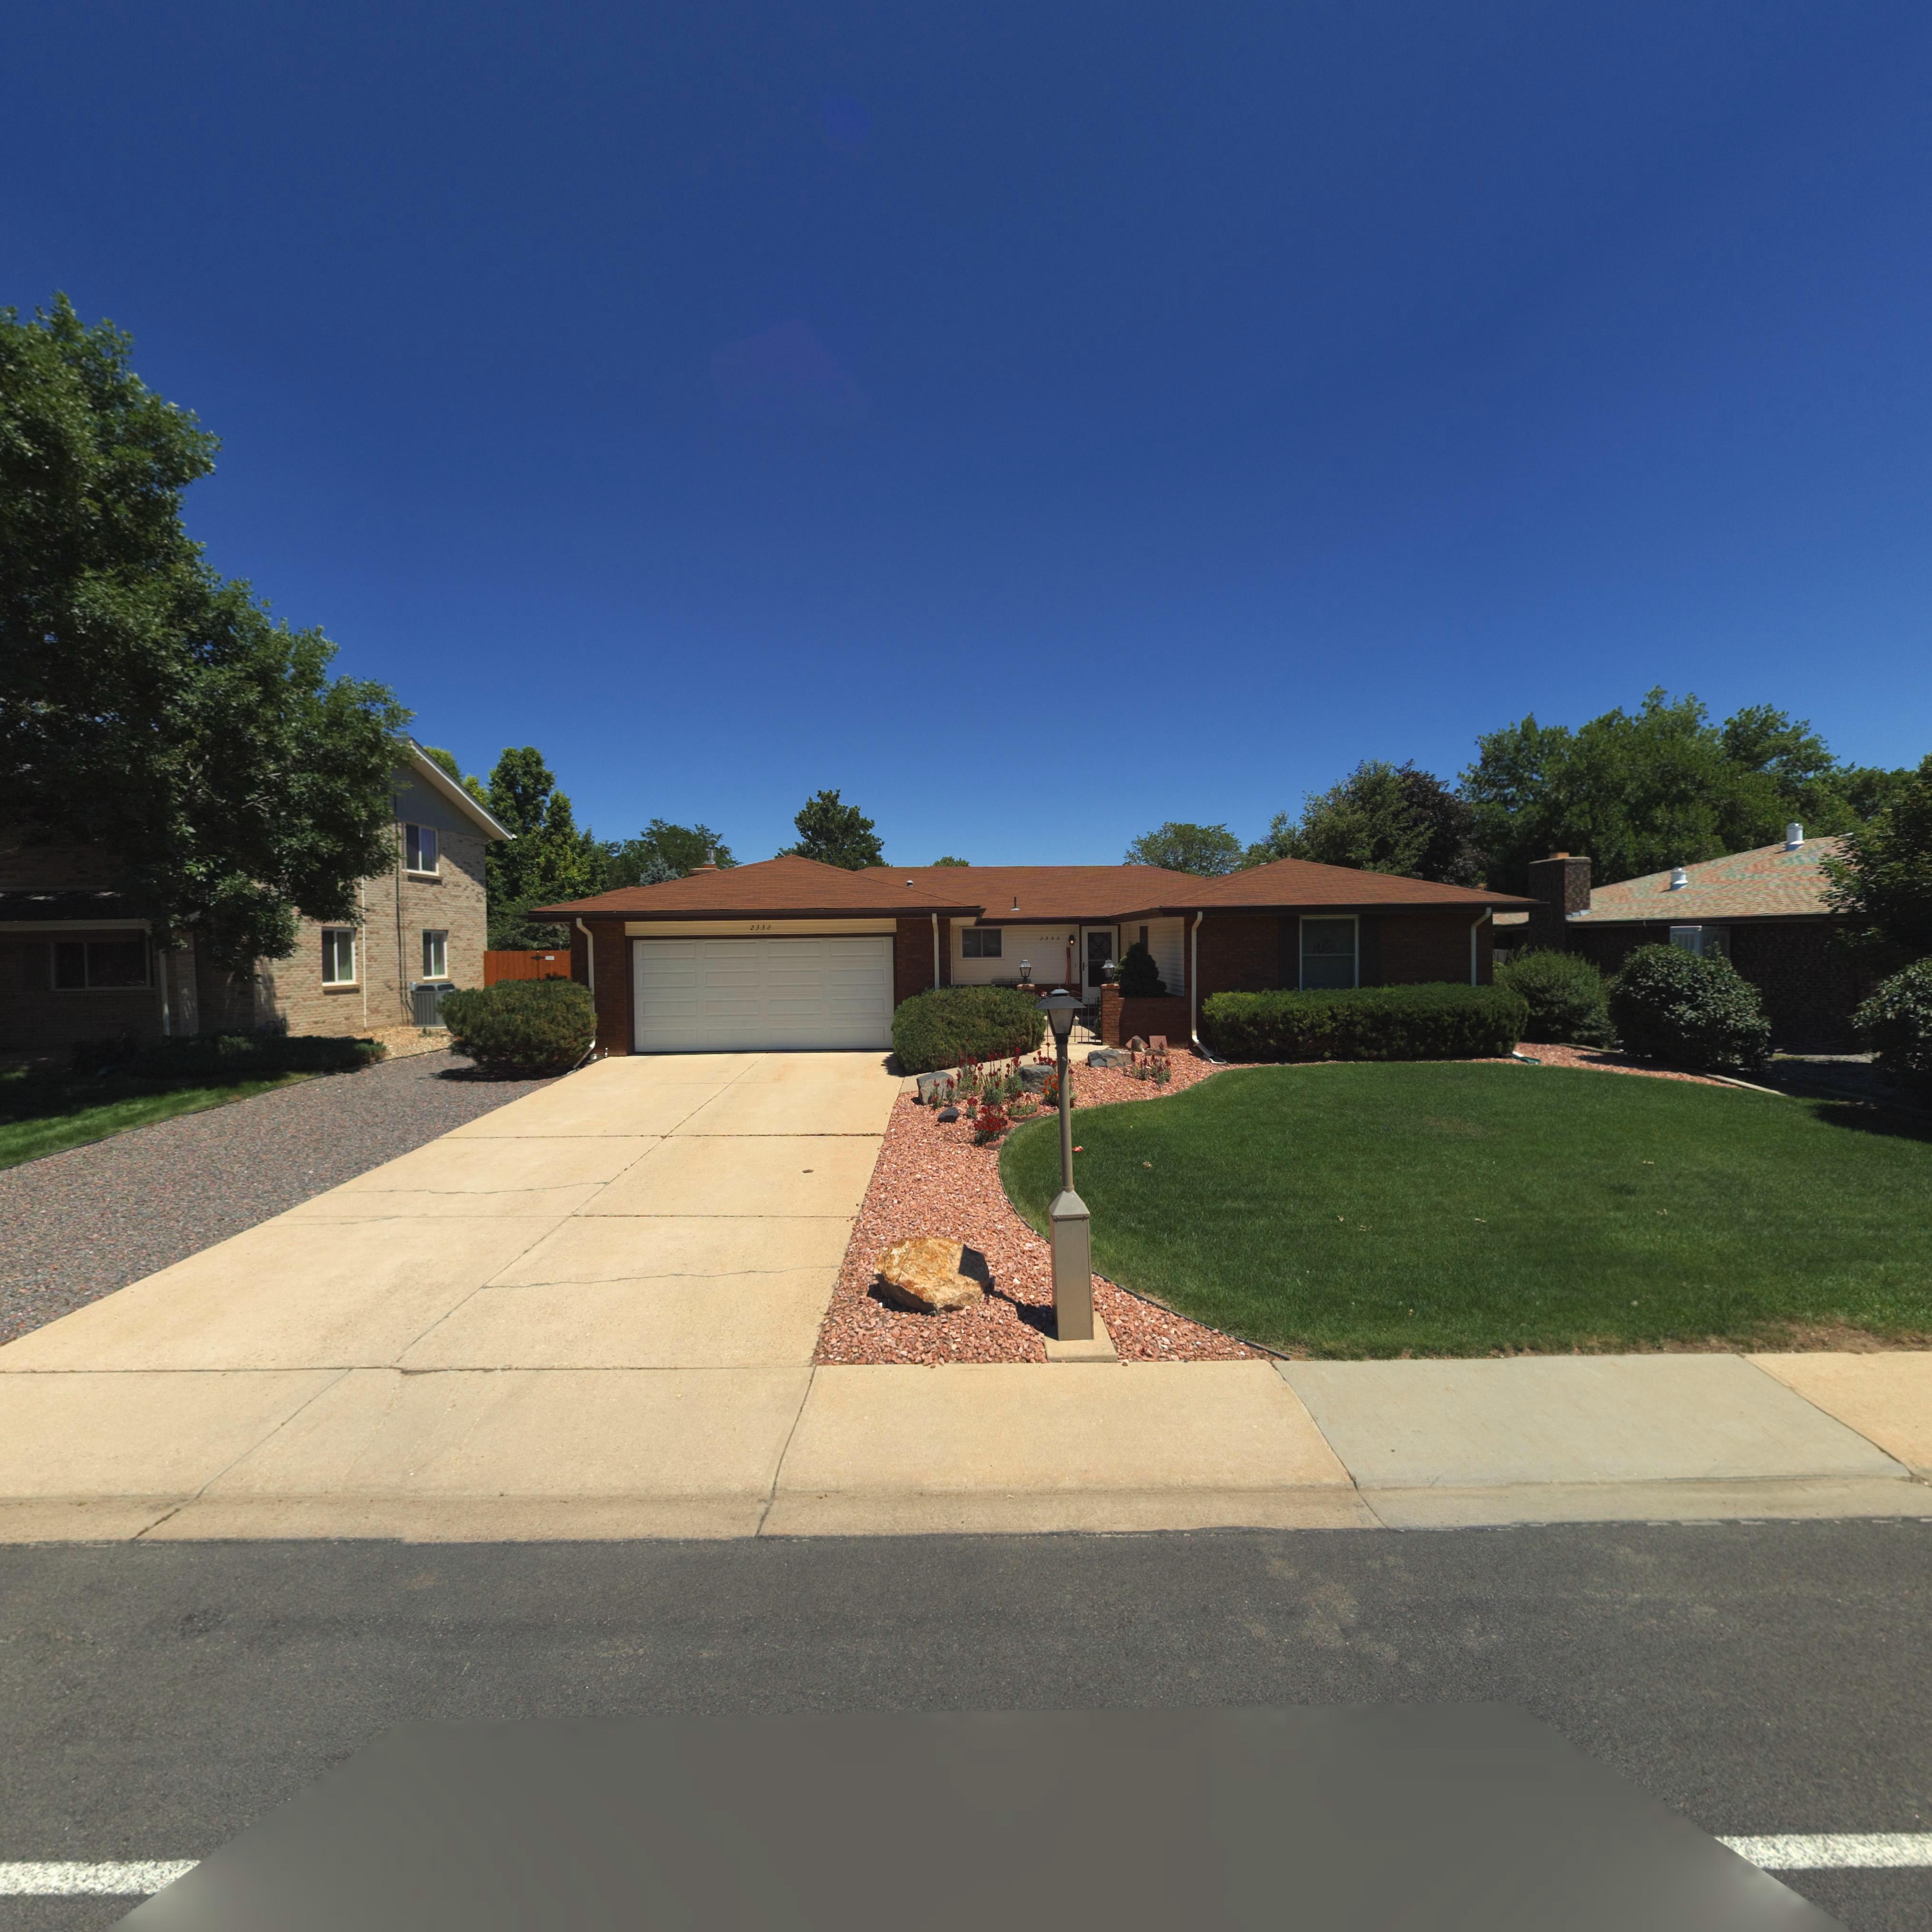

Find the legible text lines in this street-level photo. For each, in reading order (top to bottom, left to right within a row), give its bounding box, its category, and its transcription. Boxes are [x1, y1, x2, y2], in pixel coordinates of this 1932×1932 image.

[750, 924, 771, 930] StreetNumber: 2332
[1040, 936, 1060, 940] StreetNumber: 2332